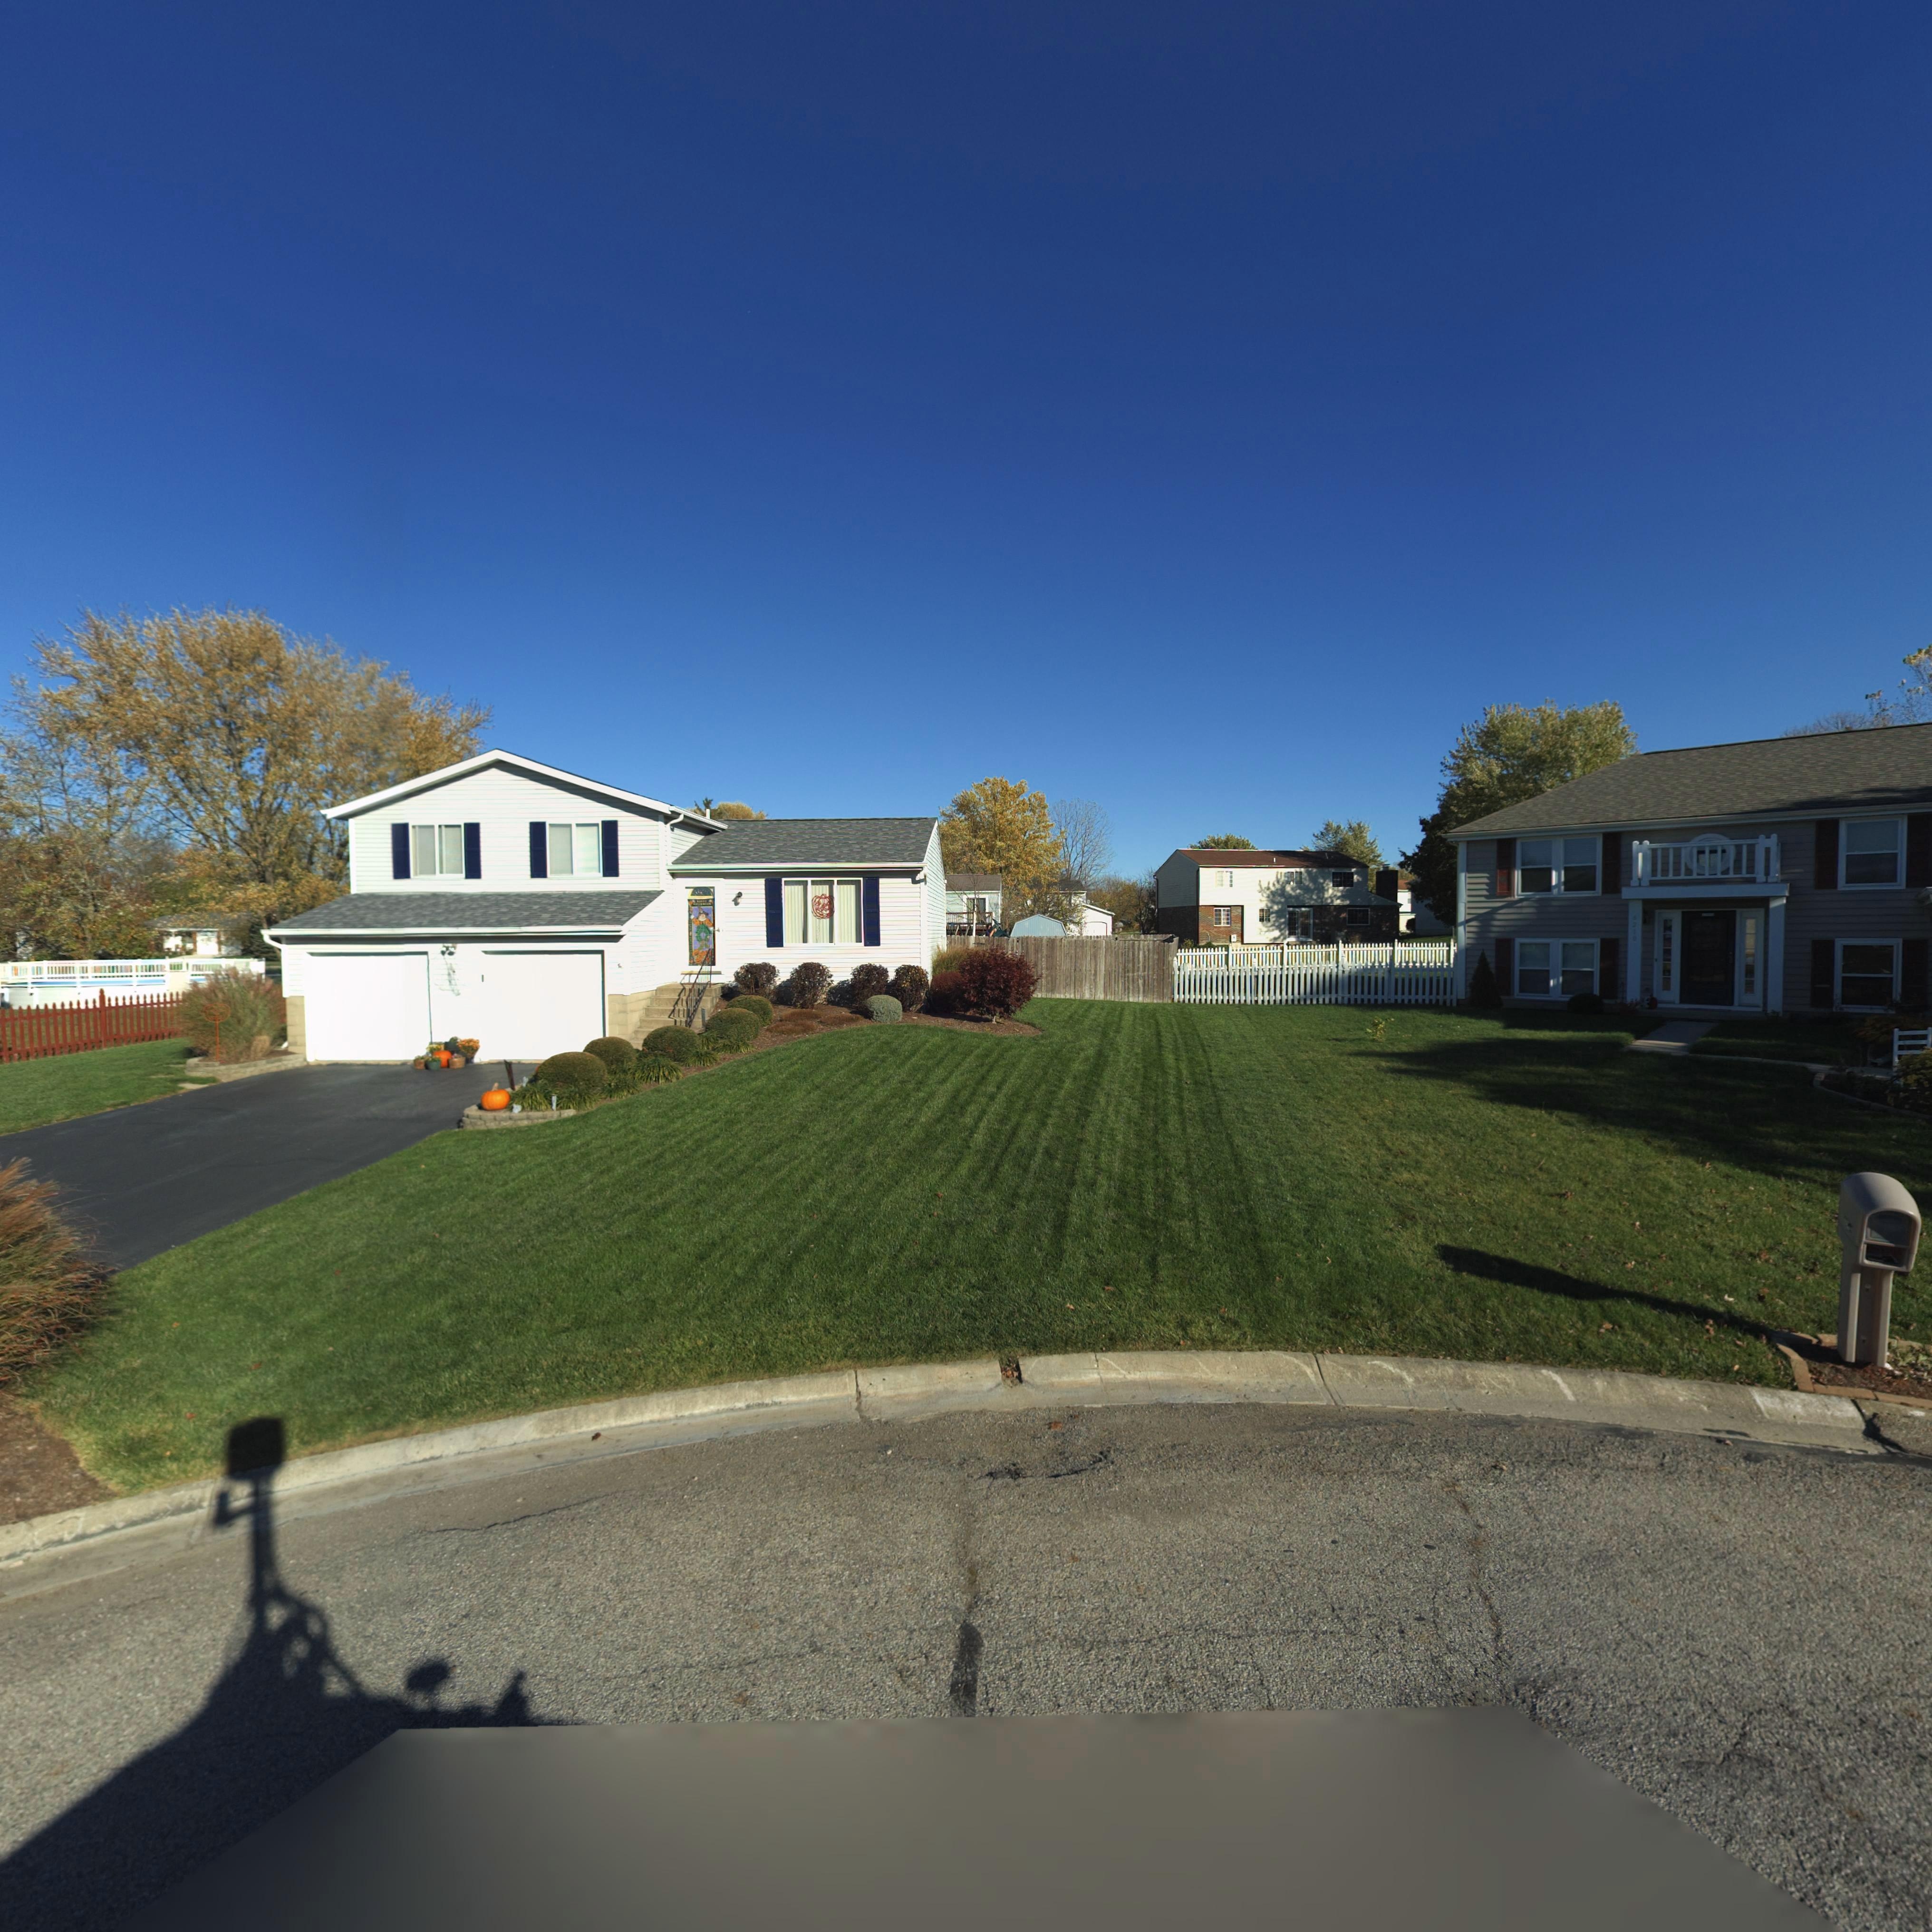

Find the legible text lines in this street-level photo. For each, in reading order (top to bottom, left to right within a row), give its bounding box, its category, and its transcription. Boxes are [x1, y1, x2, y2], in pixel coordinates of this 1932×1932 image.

[1632, 913, 1638, 942] StreetNumber: 6210